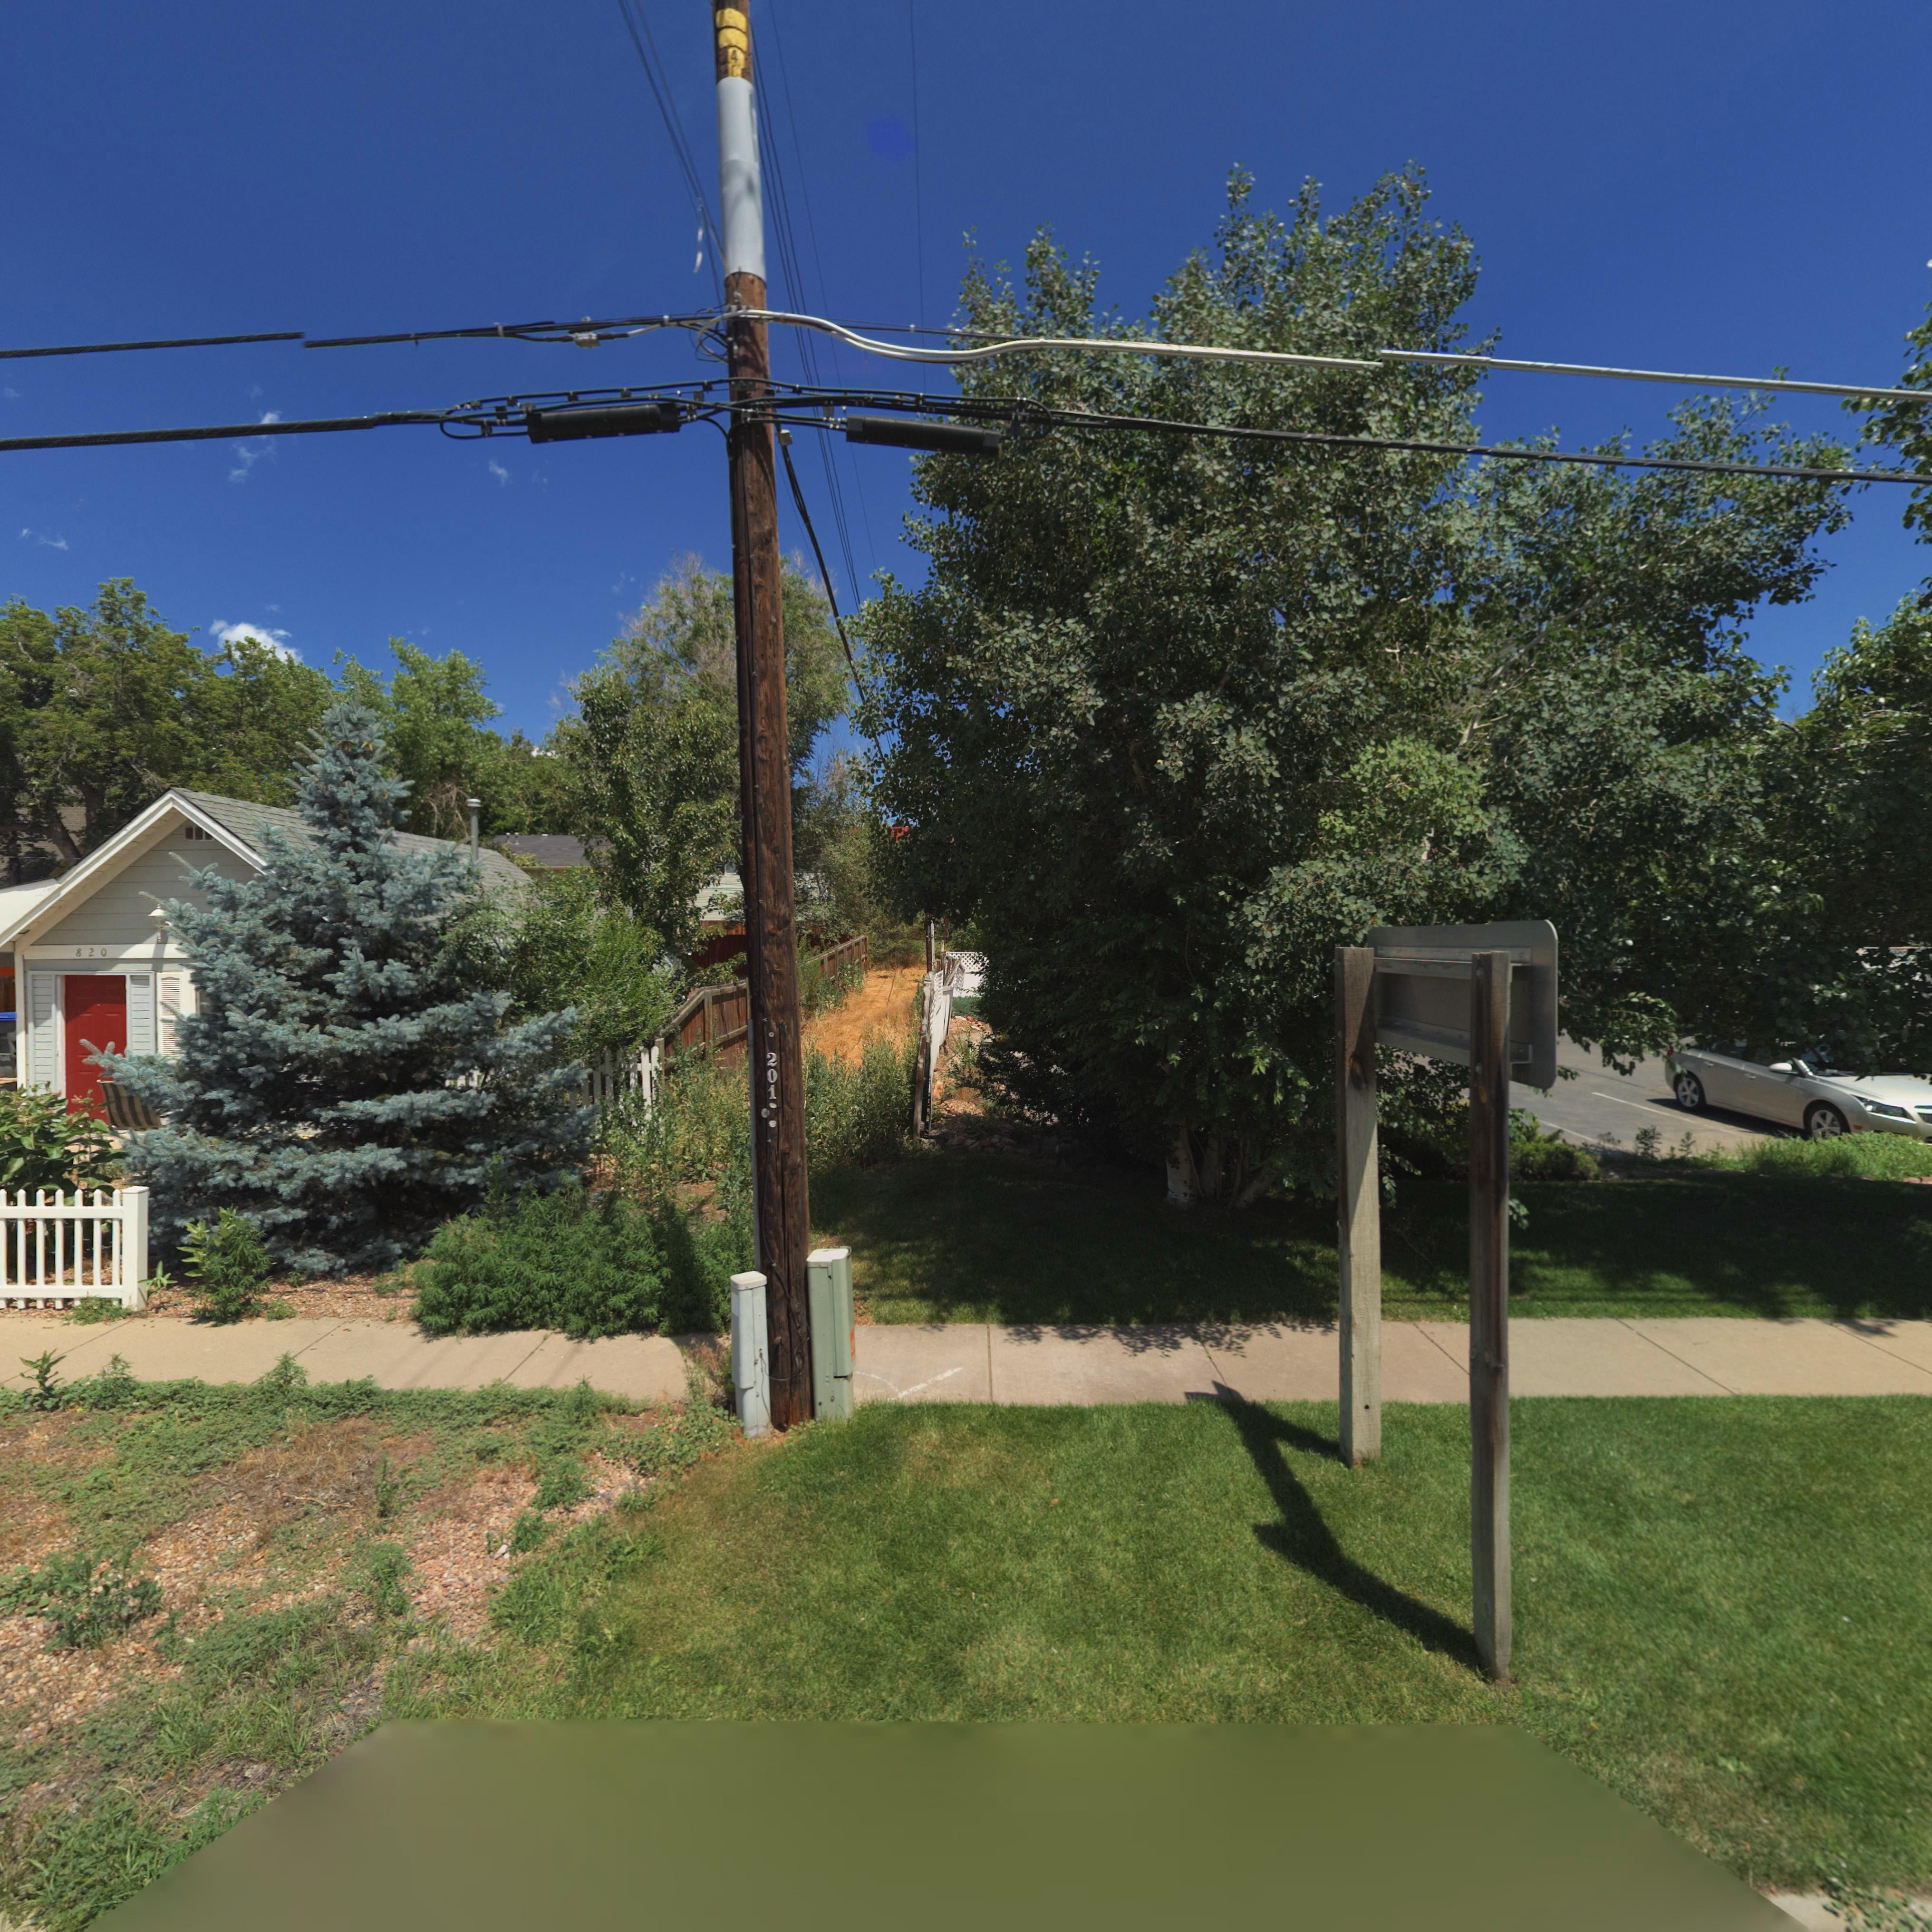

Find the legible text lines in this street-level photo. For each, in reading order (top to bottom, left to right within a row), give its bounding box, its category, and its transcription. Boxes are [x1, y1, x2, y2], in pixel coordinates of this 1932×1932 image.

[74, 946, 108, 958] StreetNumber: 820